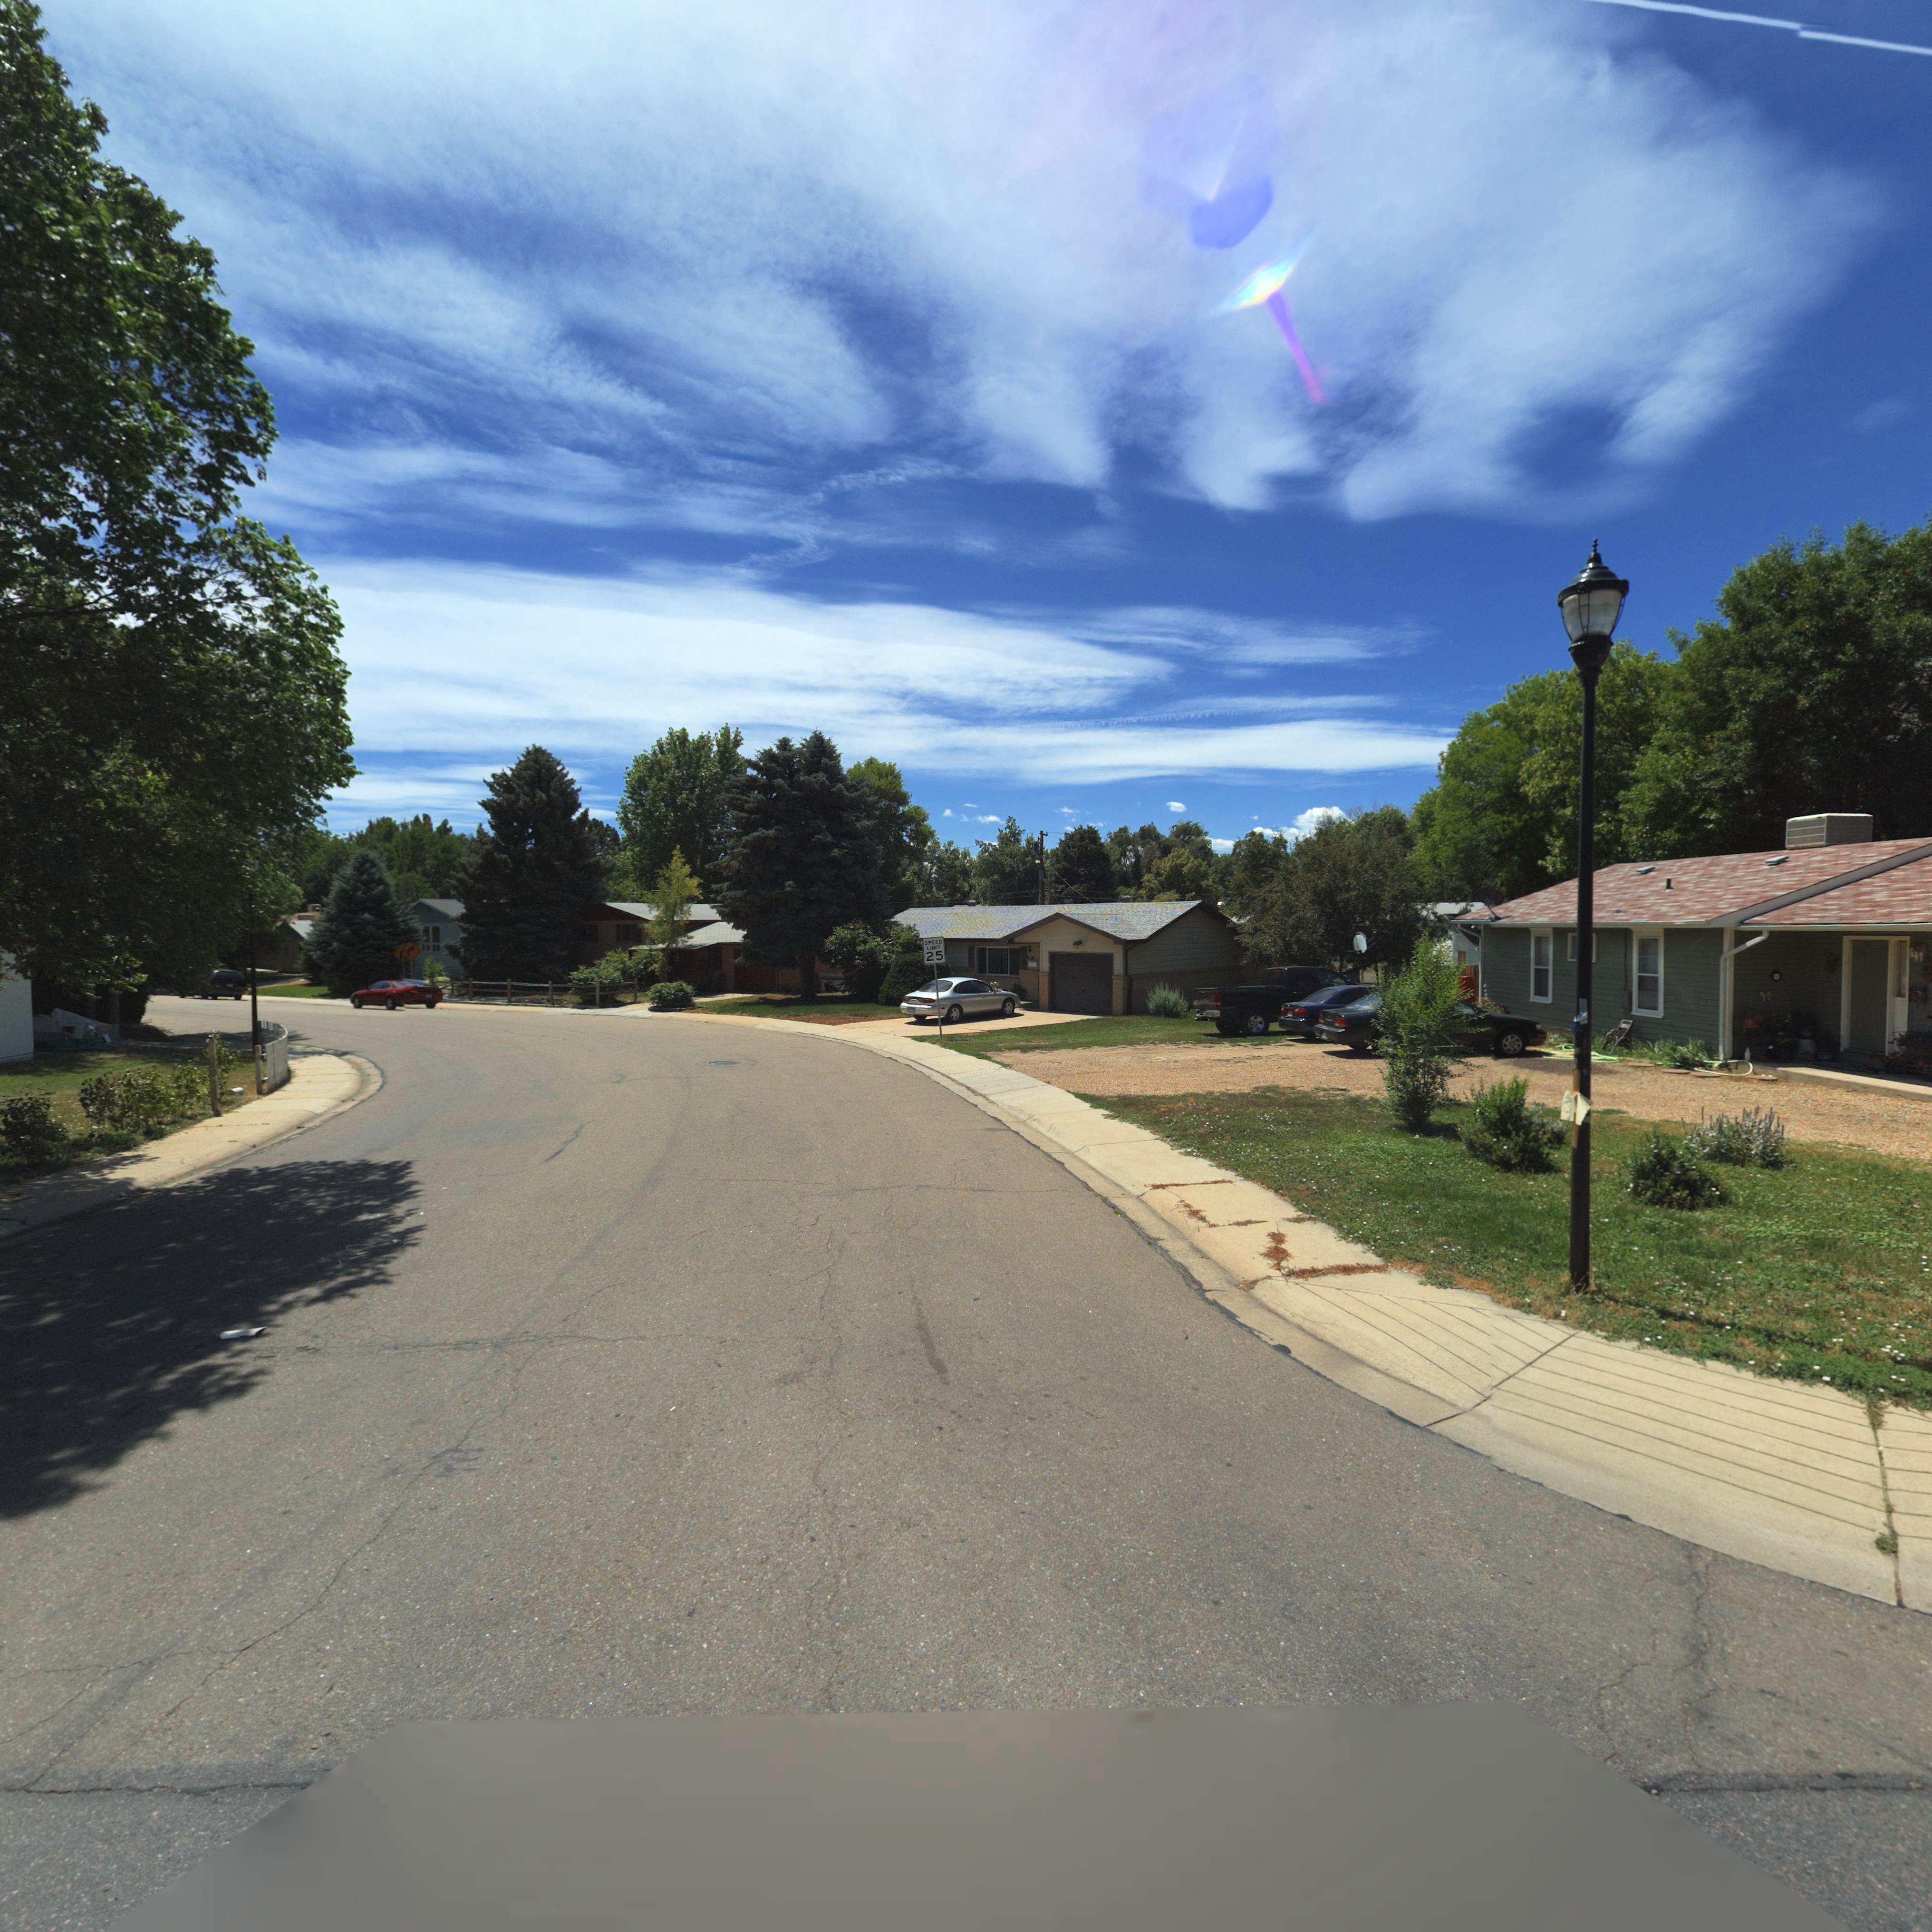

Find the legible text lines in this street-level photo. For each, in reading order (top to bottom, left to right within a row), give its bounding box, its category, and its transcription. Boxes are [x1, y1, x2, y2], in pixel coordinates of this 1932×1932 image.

[1910, 947, 1923, 962] StreetNumber: 41